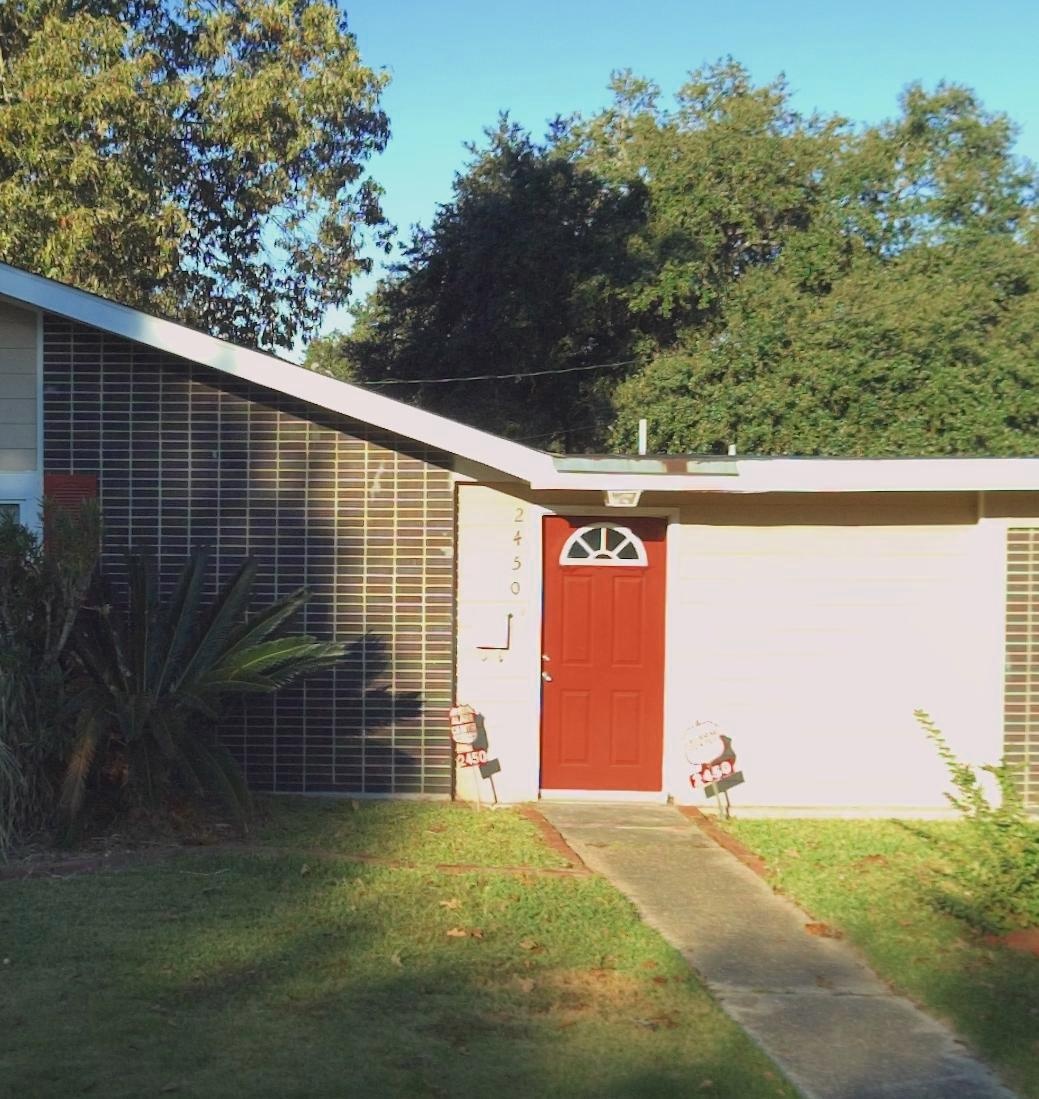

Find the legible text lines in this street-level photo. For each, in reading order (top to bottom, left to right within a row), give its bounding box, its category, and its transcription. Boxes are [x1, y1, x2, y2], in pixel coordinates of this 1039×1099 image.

[507, 505, 526, 597] StreetNumber: 2450
[452, 747, 491, 771] StreetNumber: 2450
[686, 756, 738, 792] StreetNumber: 2450